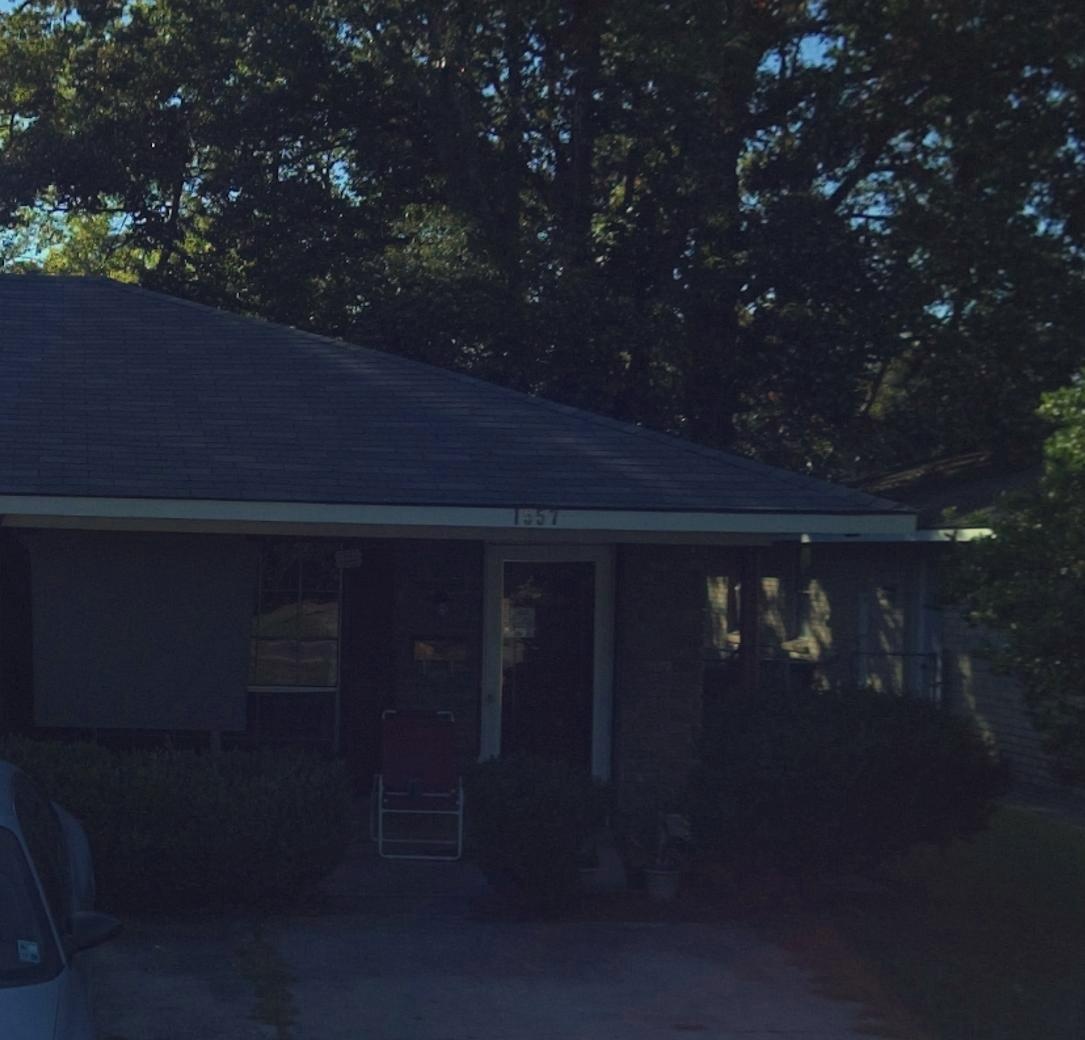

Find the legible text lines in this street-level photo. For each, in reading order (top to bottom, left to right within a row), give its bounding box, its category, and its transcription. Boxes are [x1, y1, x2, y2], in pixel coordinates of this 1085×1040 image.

[511, 507, 561, 526] StreetNumber: 1557